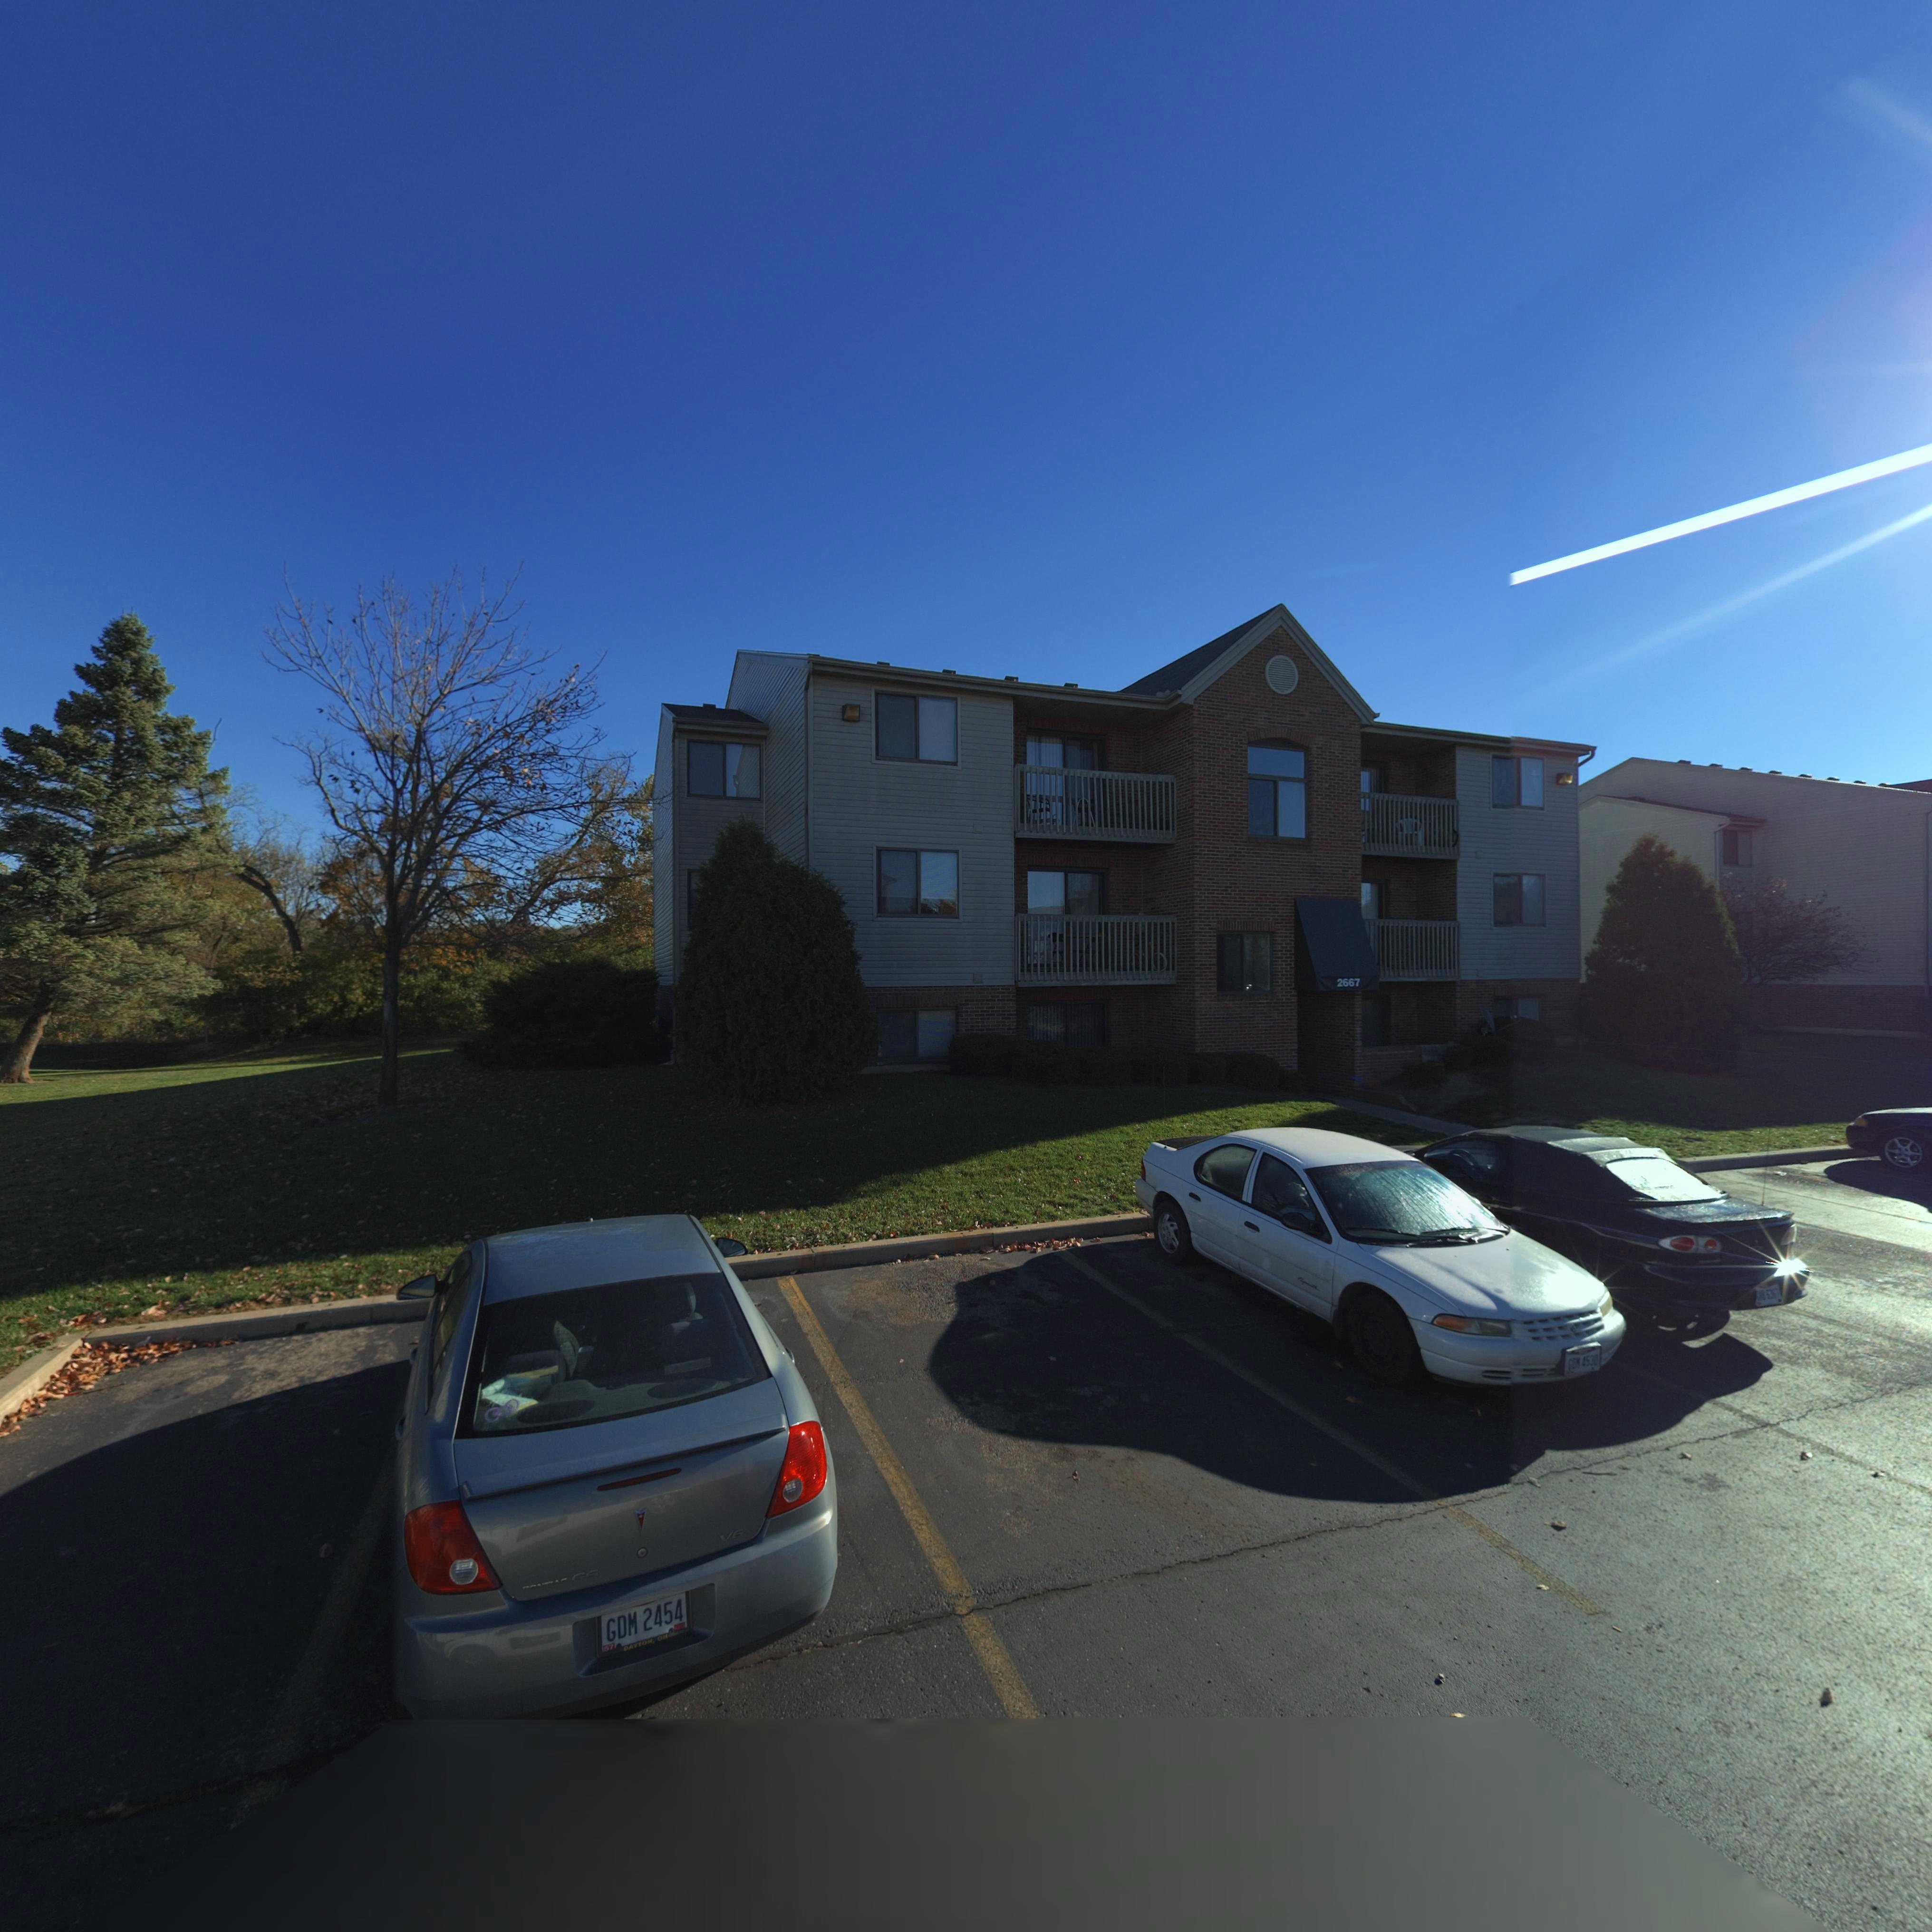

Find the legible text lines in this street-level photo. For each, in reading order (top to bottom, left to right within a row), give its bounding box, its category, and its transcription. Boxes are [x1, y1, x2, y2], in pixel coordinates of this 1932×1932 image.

[1337, 978, 1361, 987] StreetNumber: 2667